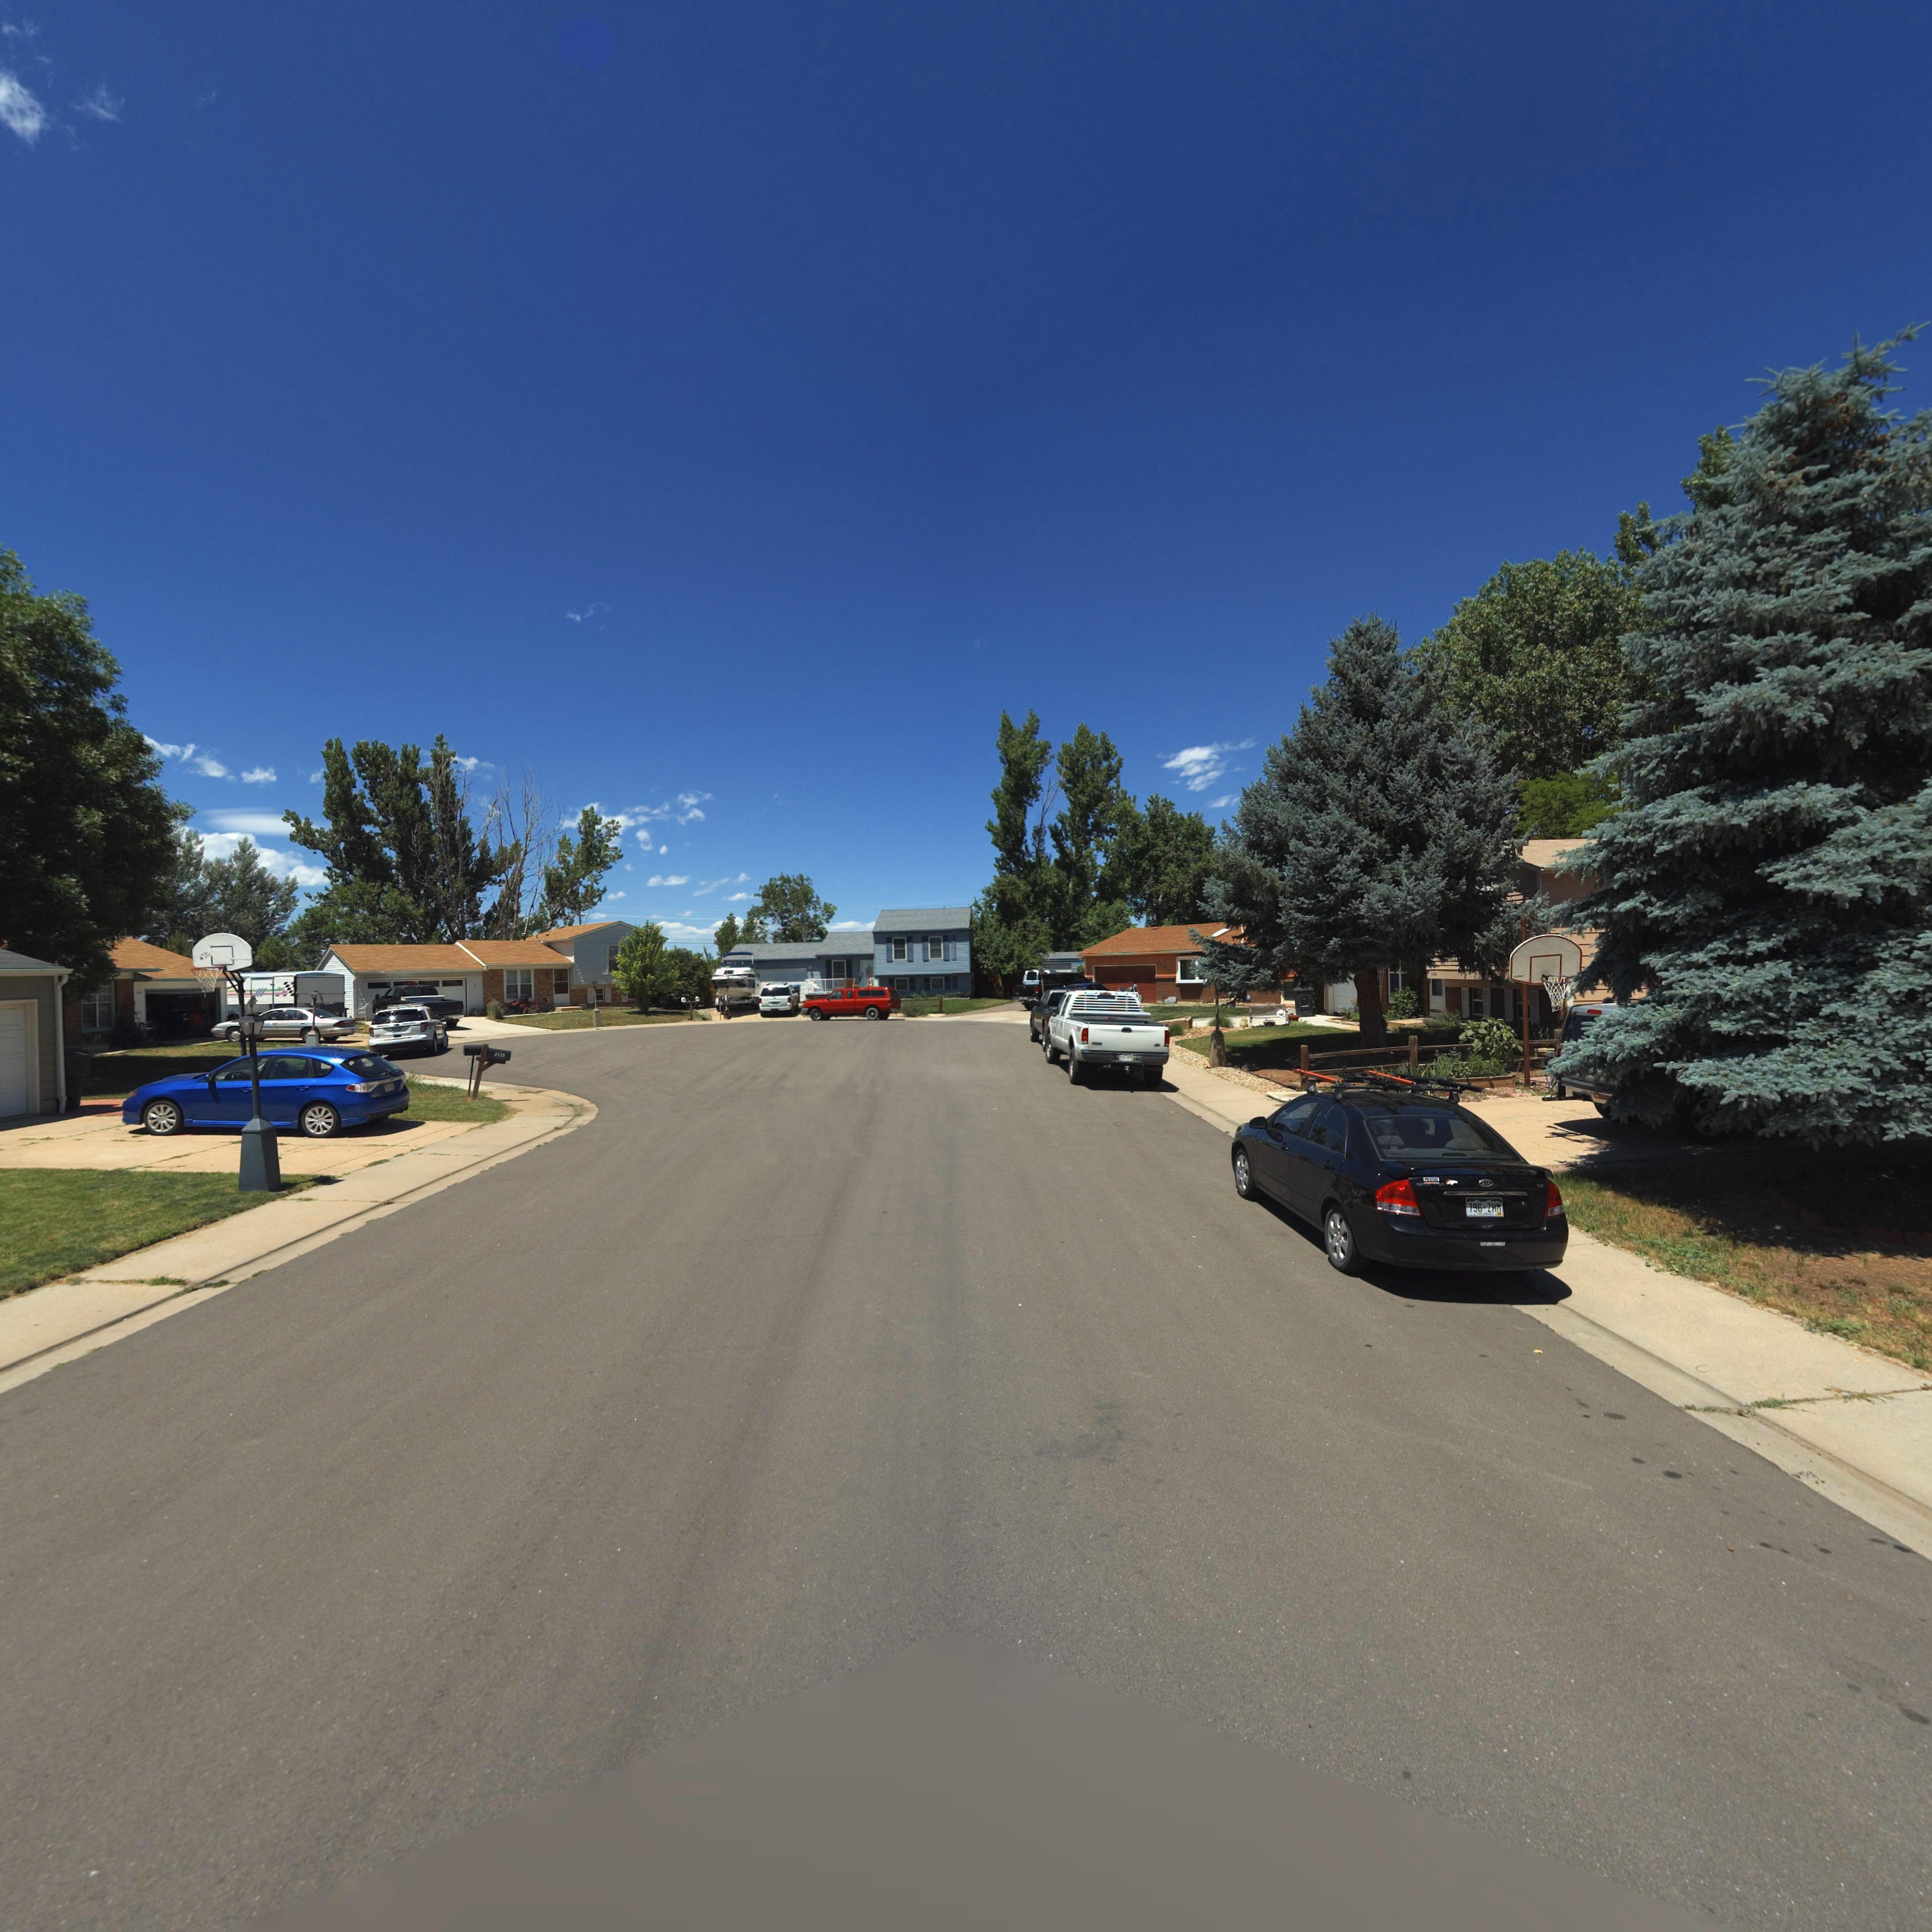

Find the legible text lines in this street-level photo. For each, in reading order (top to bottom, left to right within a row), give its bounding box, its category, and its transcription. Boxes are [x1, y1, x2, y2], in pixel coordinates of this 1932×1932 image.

[1430, 971, 1437, 976] StreetNumber: 2***
[493, 1052, 505, 1058] StreetNumber: 2429